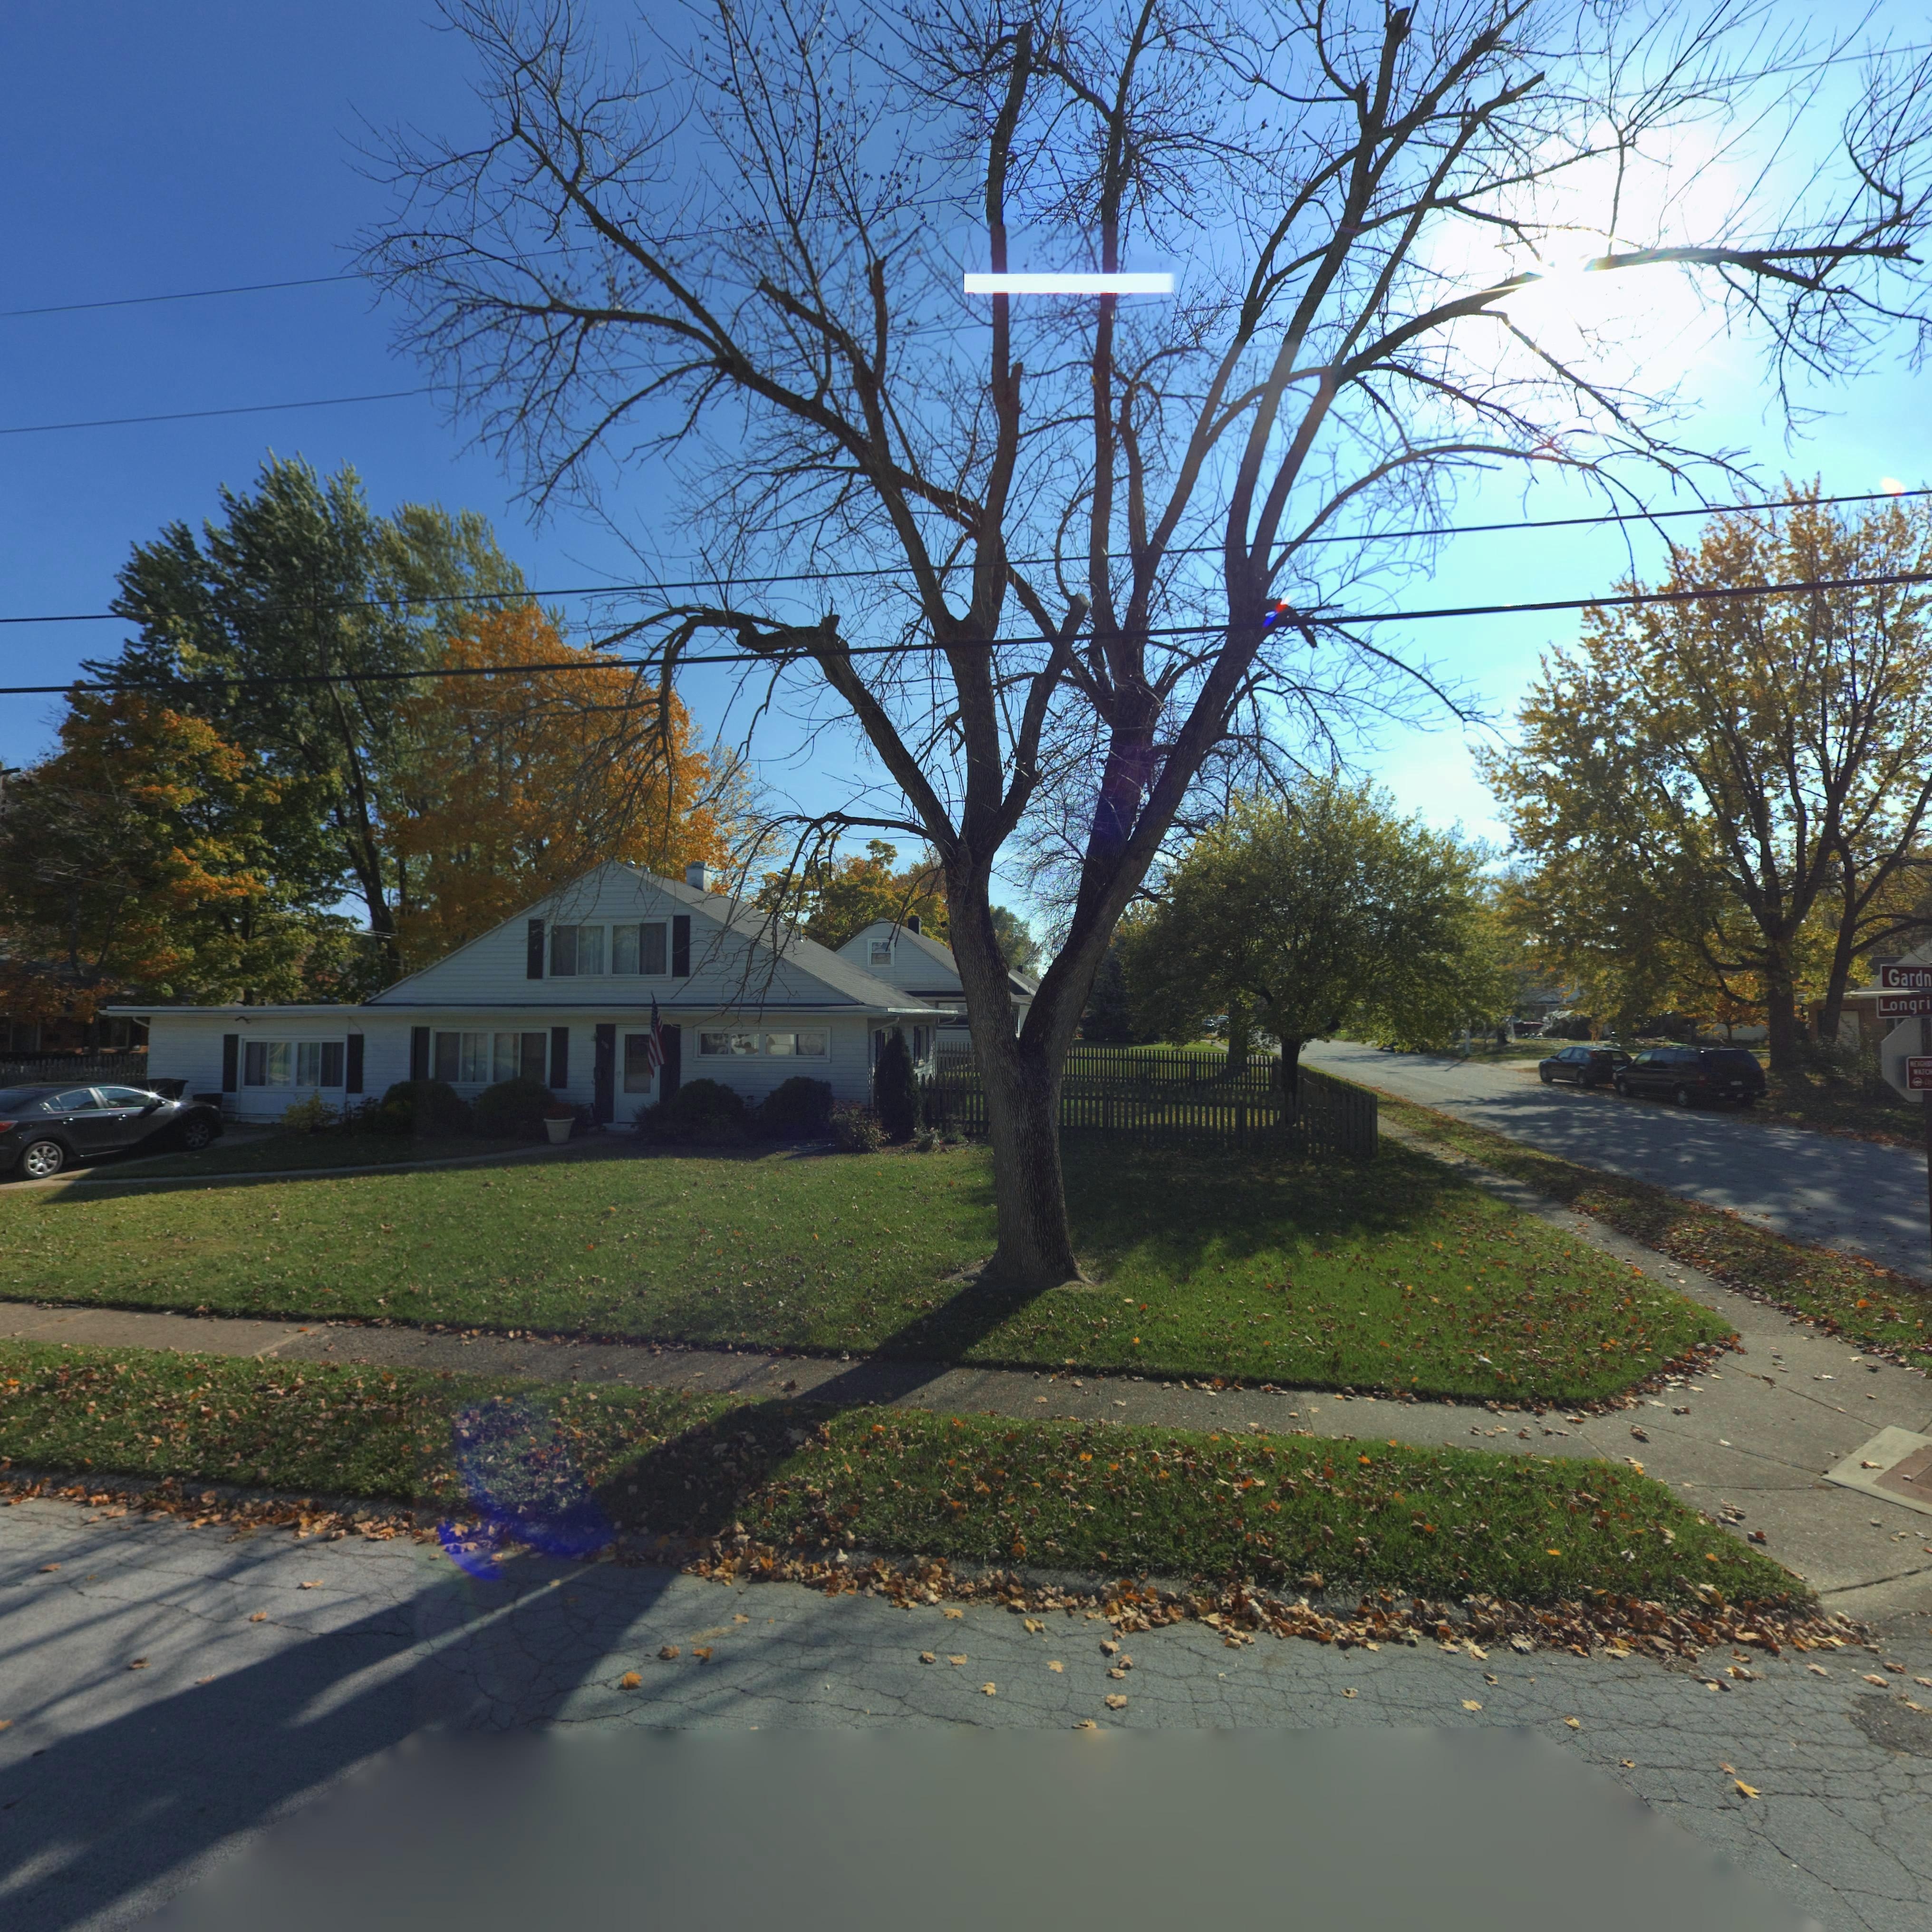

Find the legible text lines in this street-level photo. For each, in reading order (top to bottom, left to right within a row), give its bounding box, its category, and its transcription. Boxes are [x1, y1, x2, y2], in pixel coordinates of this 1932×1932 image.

[1888, 968, 1932, 987] StreetName: Gardn
[1879, 996, 1931, 1015] StreetName: Longri
[600, 1039, 609, 1050] StreetNumber: *30
[1909, 1060, 1931, 1067] None: NEIGHB
[1913, 1068, 1930, 1075] None: WATC